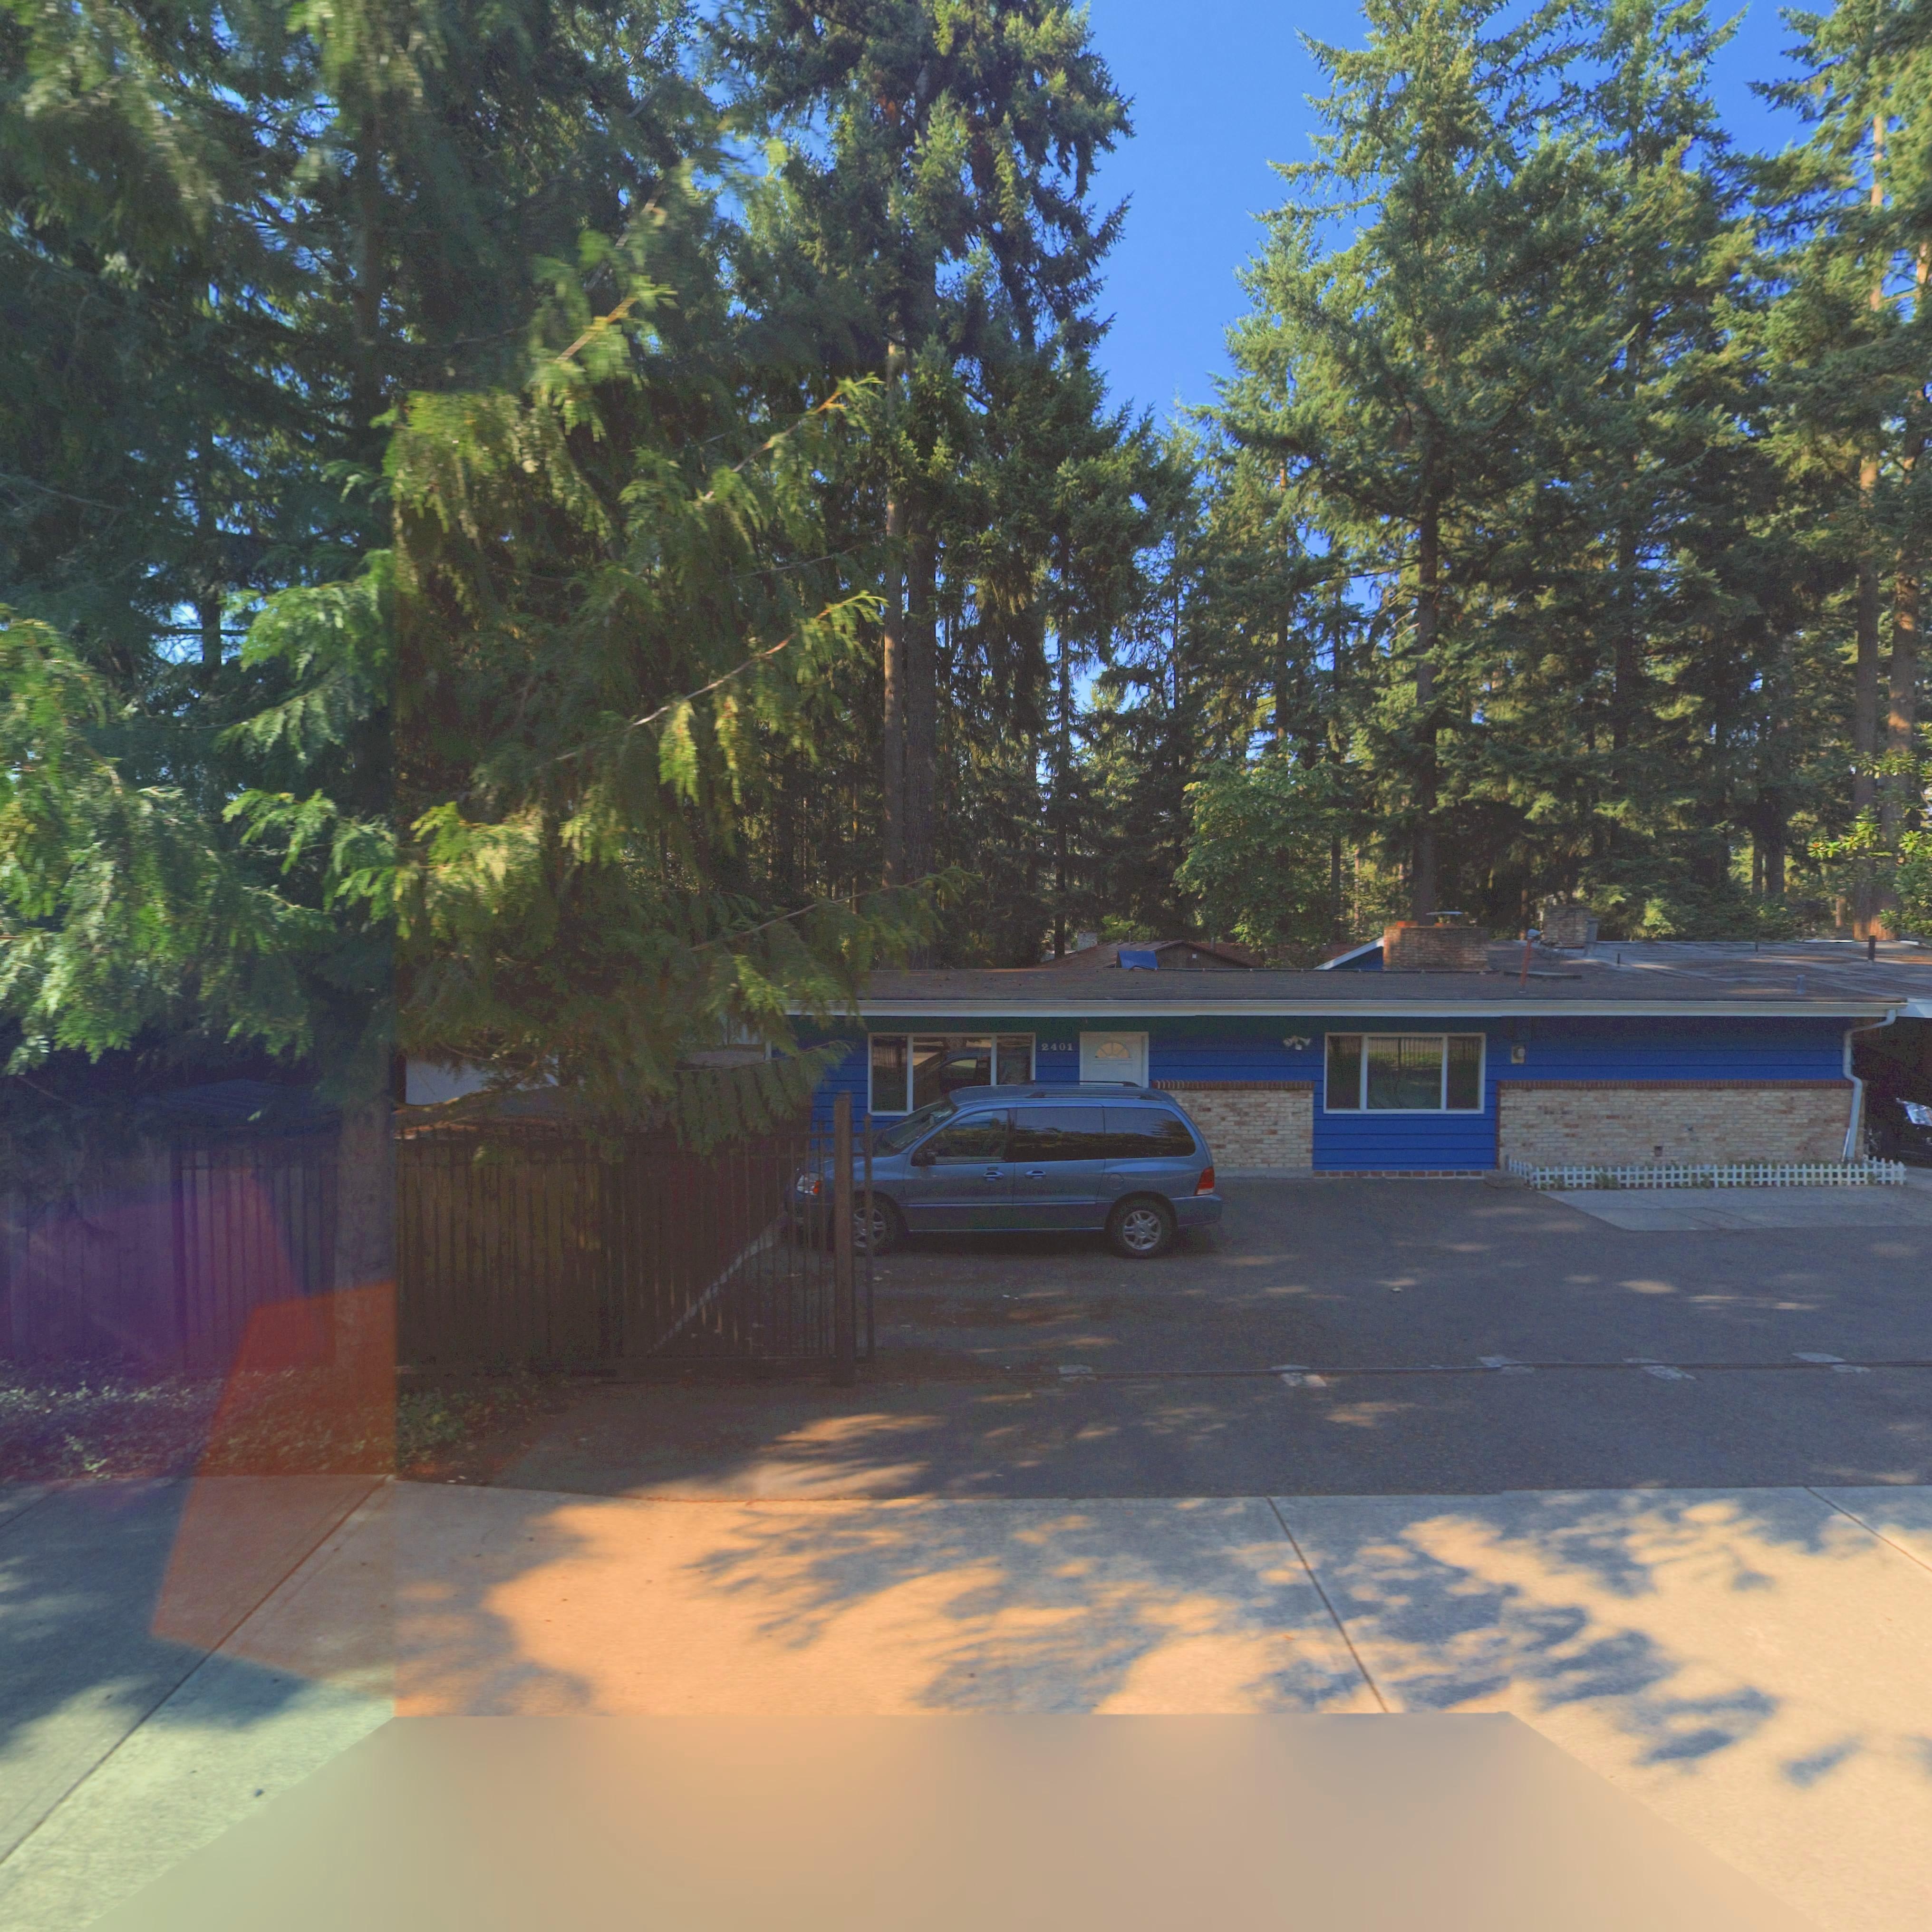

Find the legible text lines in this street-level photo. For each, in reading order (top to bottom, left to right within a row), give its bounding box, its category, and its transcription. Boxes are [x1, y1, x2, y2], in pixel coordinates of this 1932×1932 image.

[1042, 1043, 1072, 1051] StreetNumber: 2401